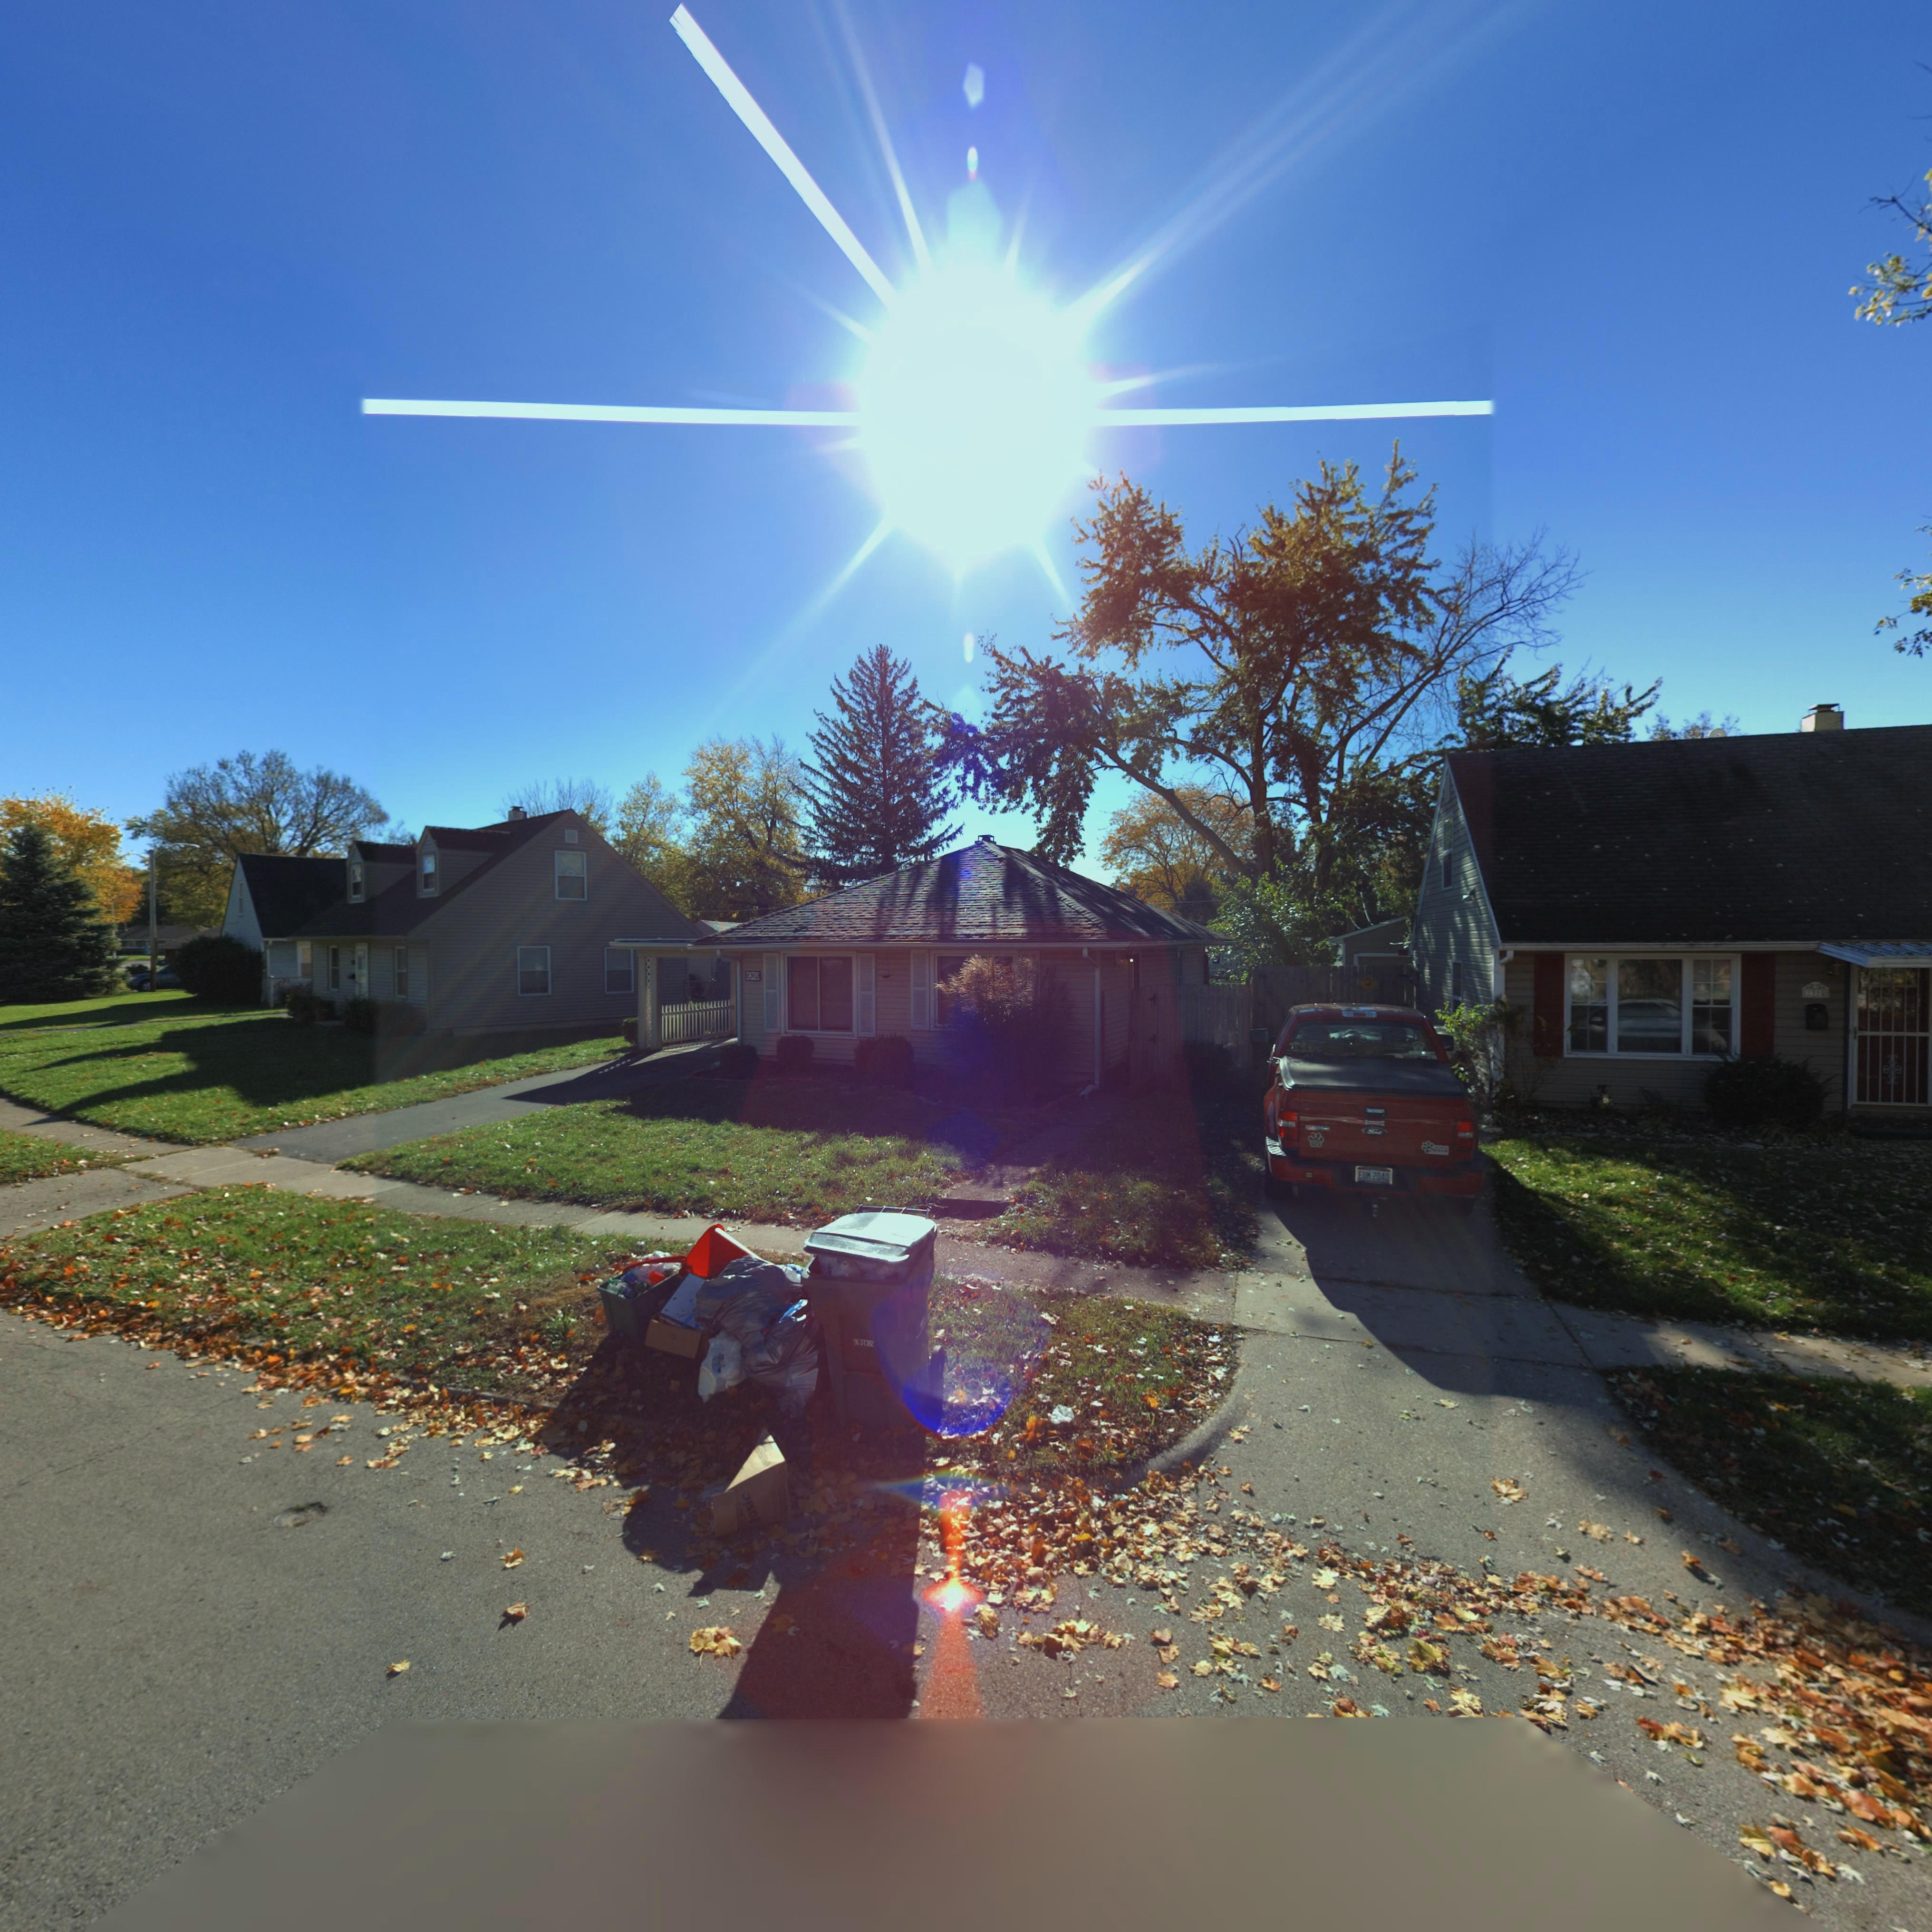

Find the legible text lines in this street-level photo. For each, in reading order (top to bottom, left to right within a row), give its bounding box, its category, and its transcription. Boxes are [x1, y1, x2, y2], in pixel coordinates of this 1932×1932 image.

[746, 972, 760, 979] StreetNumber: 23*0